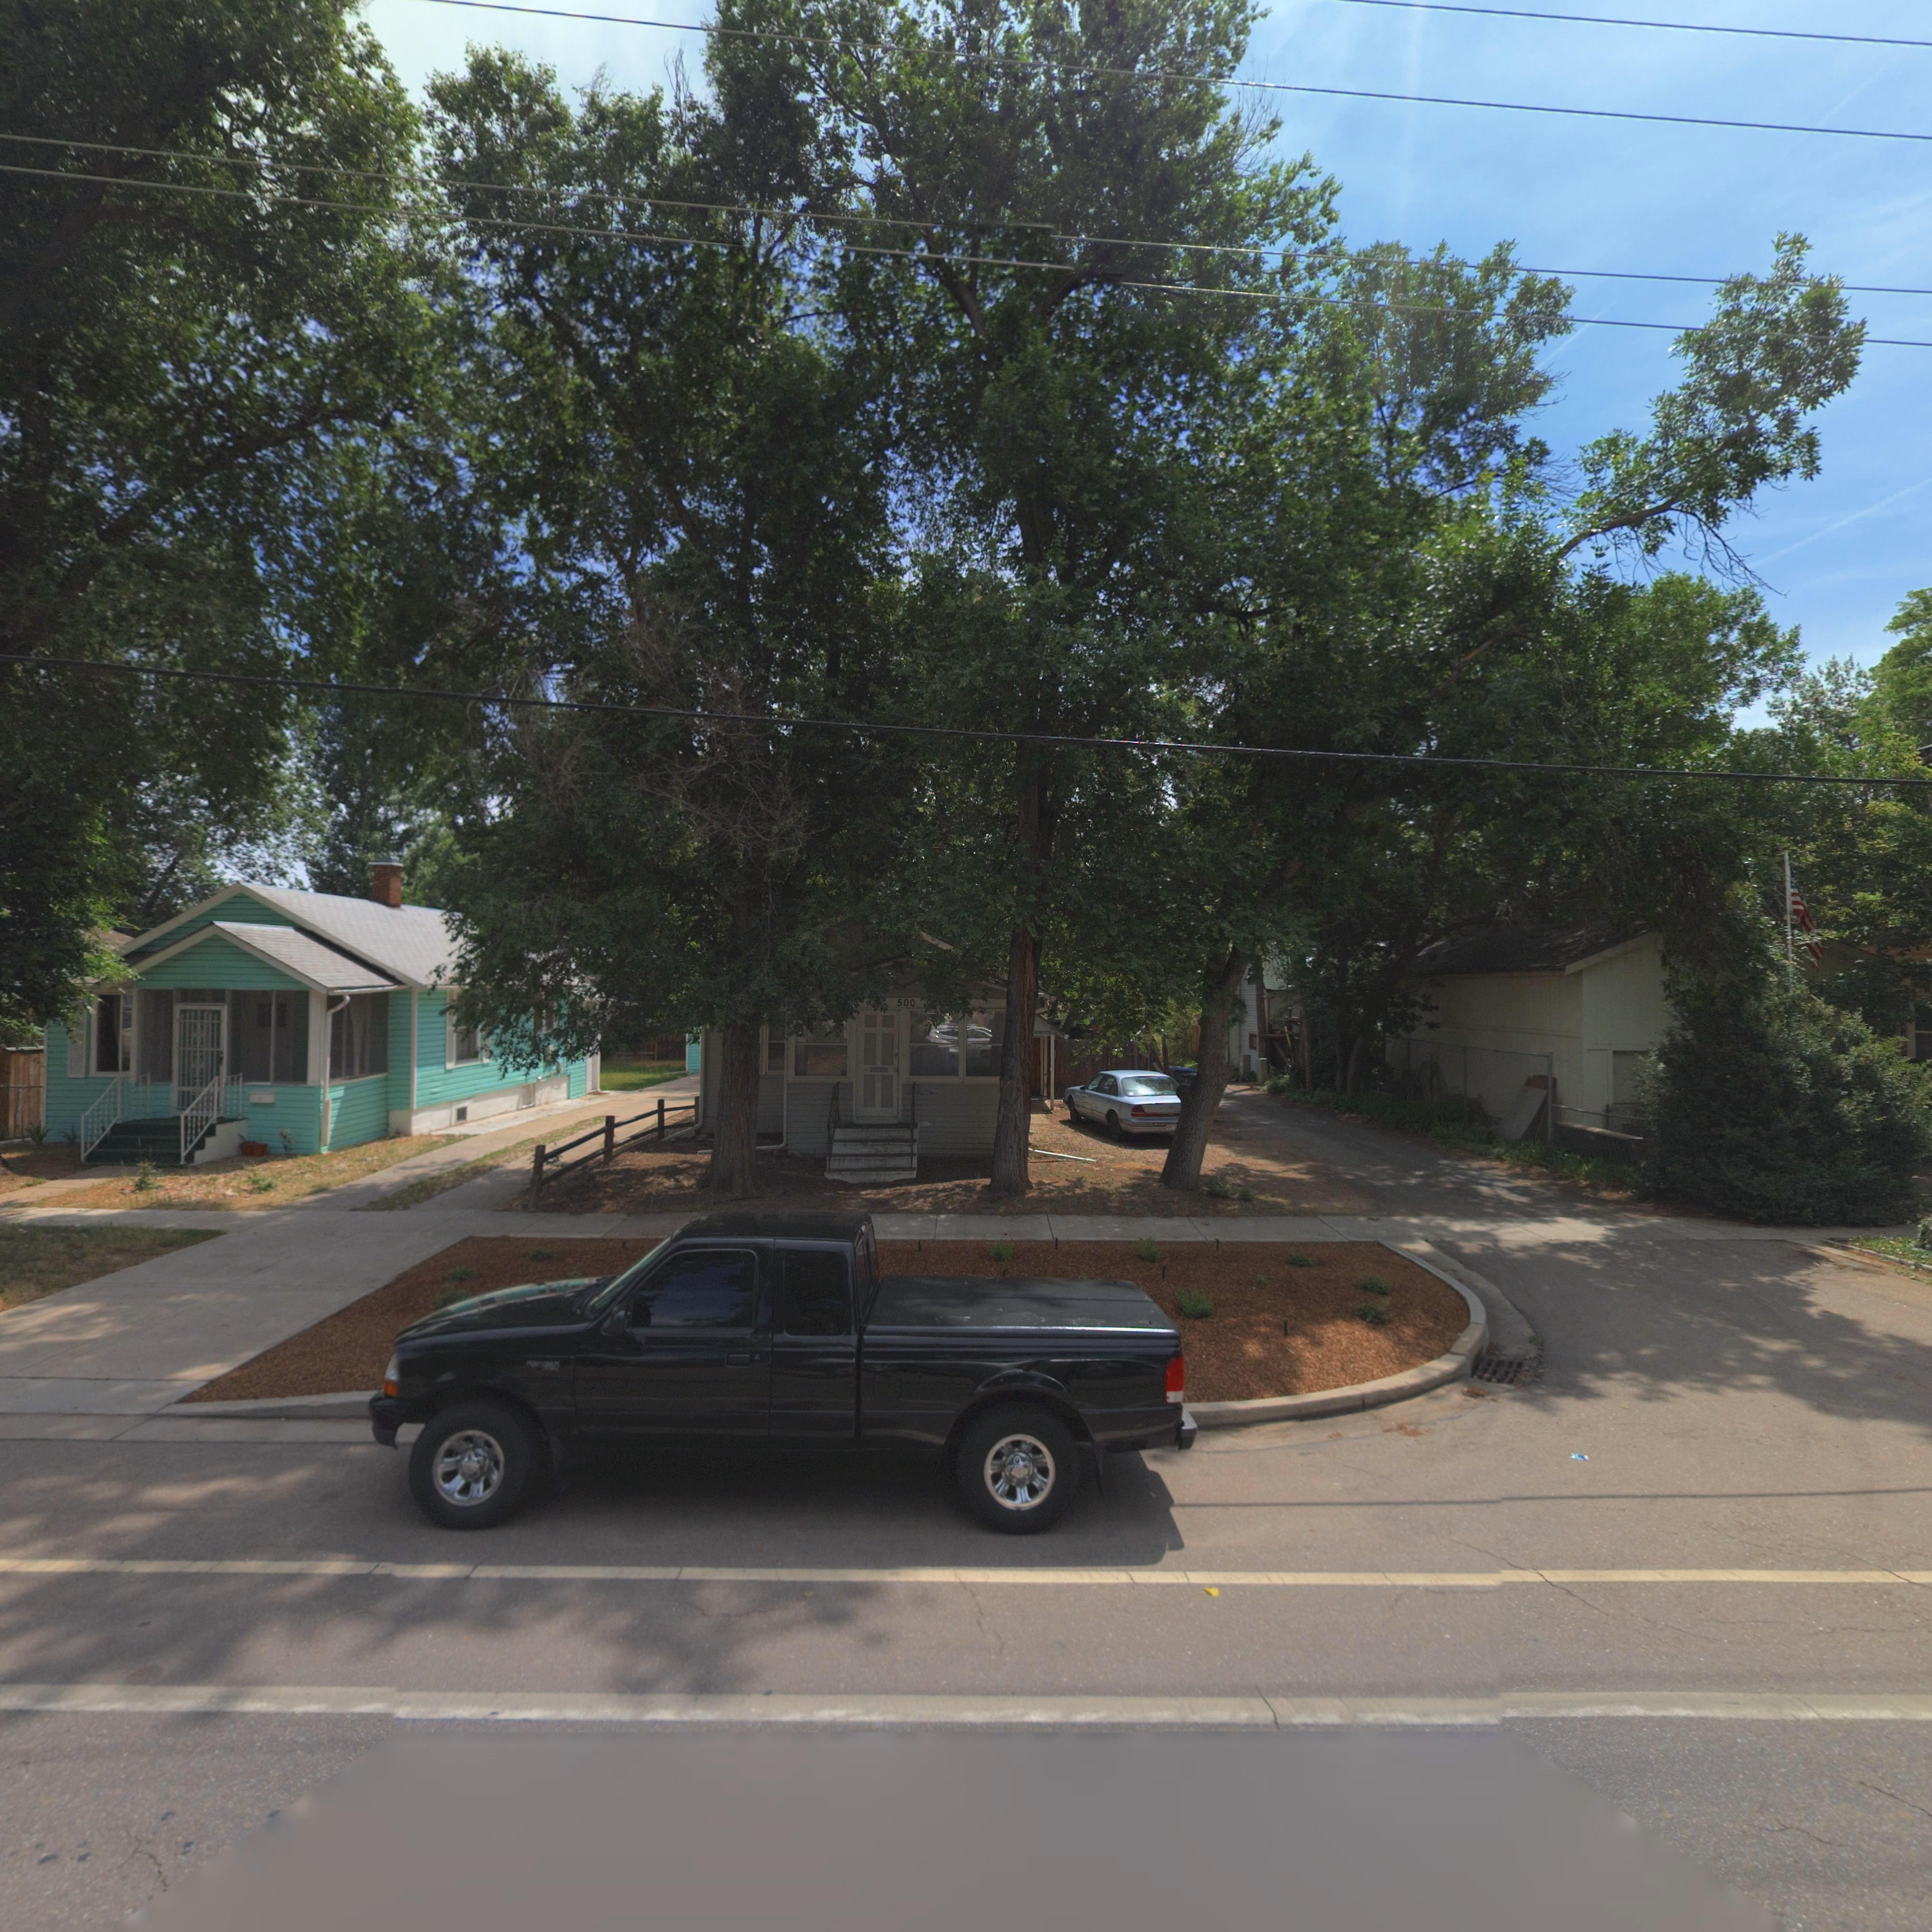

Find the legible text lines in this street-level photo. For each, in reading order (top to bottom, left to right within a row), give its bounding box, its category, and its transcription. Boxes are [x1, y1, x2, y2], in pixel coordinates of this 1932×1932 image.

[897, 998, 915, 1006] StreetNumber: 500